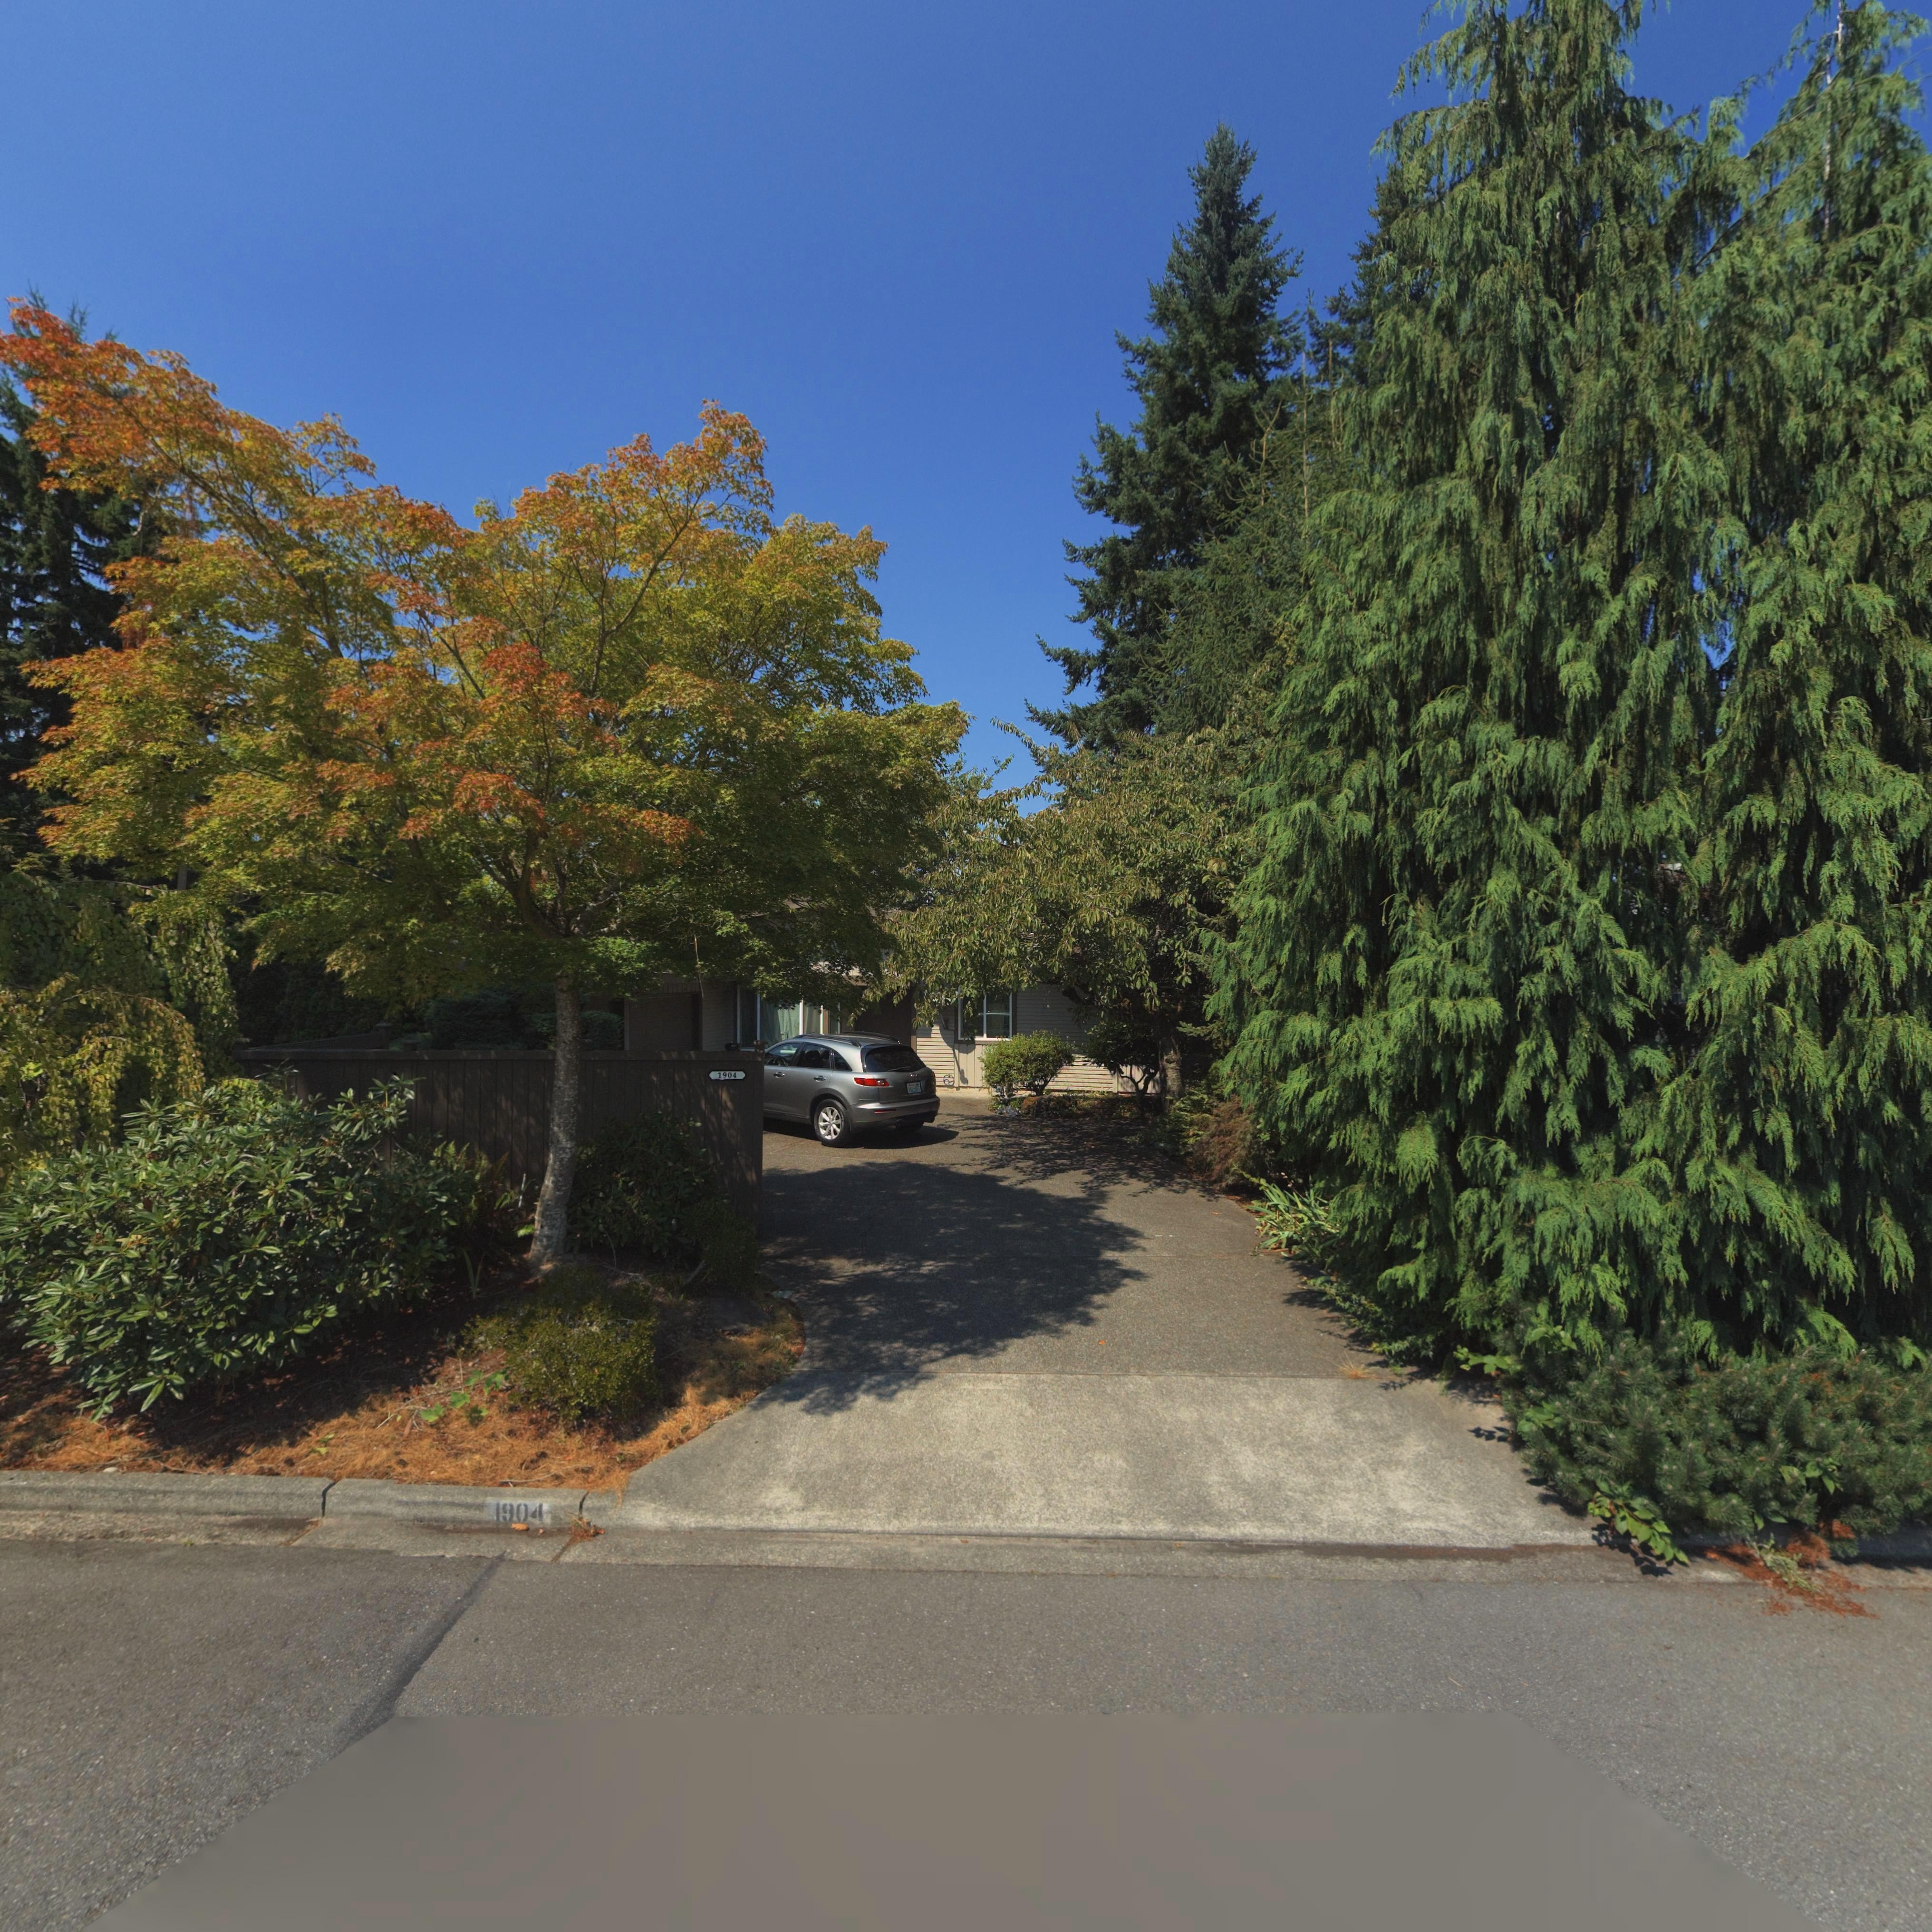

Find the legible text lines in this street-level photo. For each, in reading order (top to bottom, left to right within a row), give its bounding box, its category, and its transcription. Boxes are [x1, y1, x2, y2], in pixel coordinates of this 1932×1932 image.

[717, 1072, 737, 1078] StreetNumber: 1904
[494, 1502, 545, 1523] StreetNumber: 1904